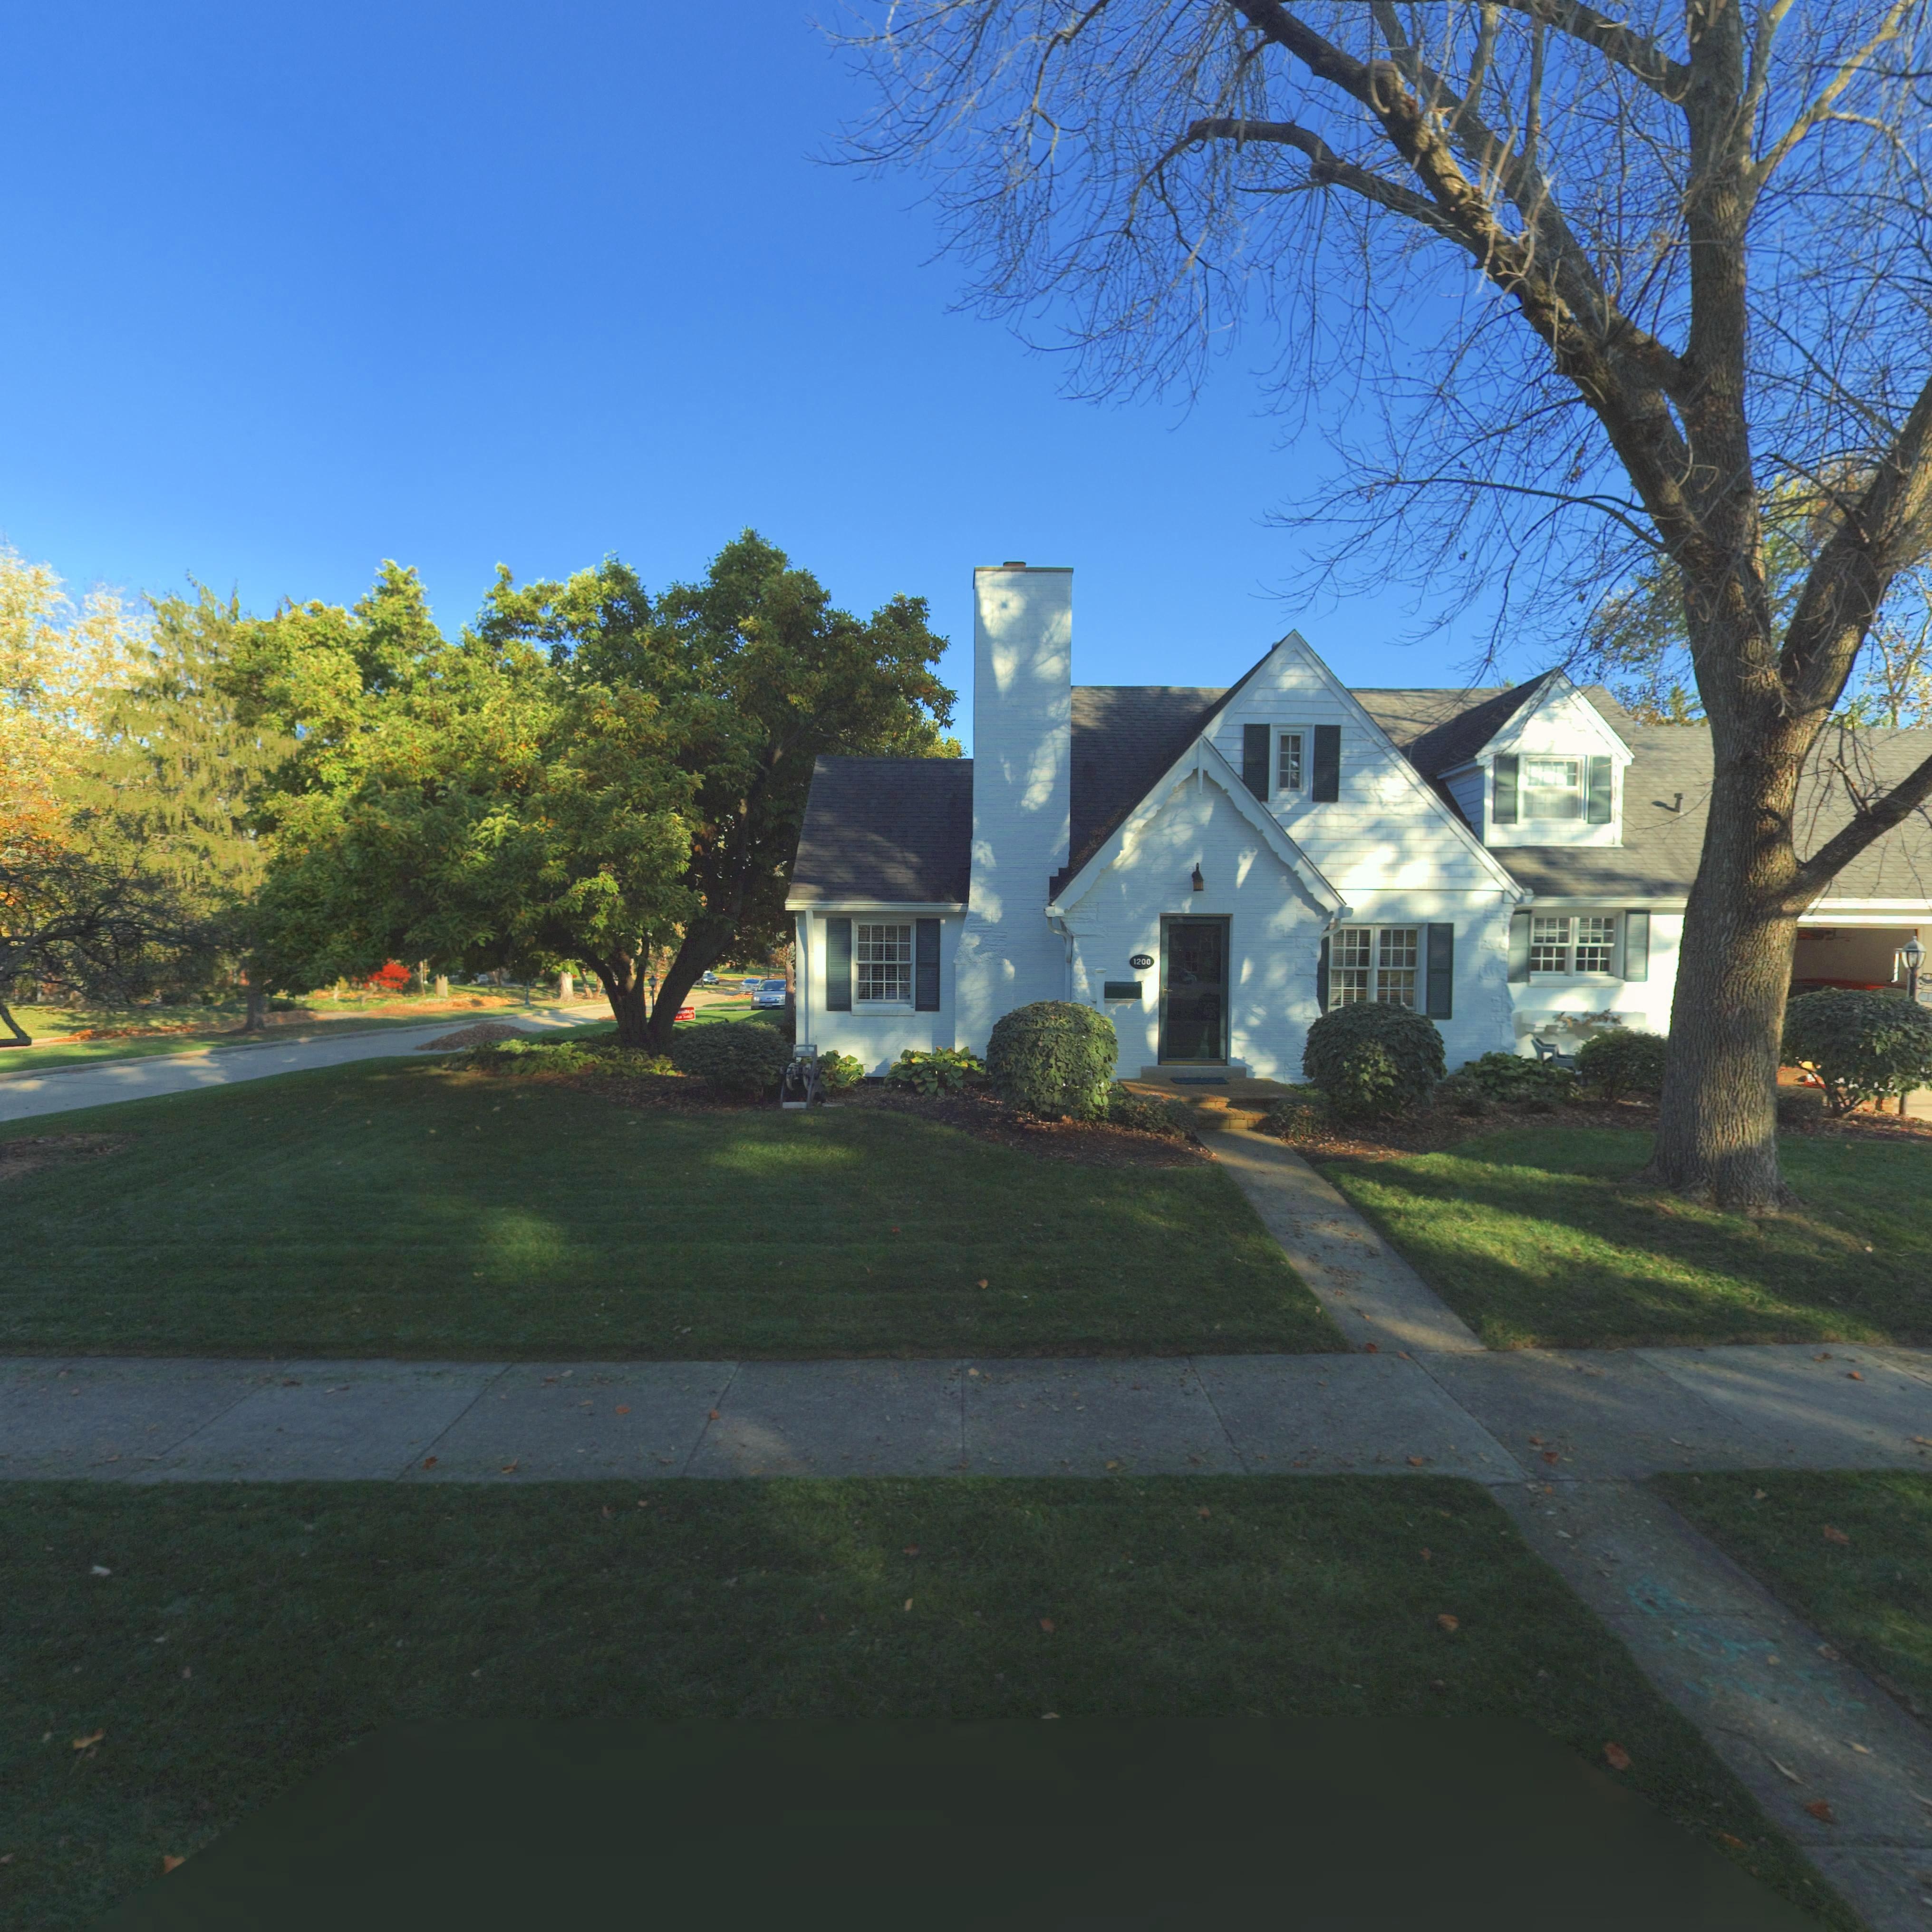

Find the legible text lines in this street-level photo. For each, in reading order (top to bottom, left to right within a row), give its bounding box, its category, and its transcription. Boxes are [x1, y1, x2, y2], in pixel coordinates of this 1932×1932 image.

[1133, 958, 1151, 966] StreetNumber: 1200
[1926, 993, 1931, 1001] StreetNumber: 1